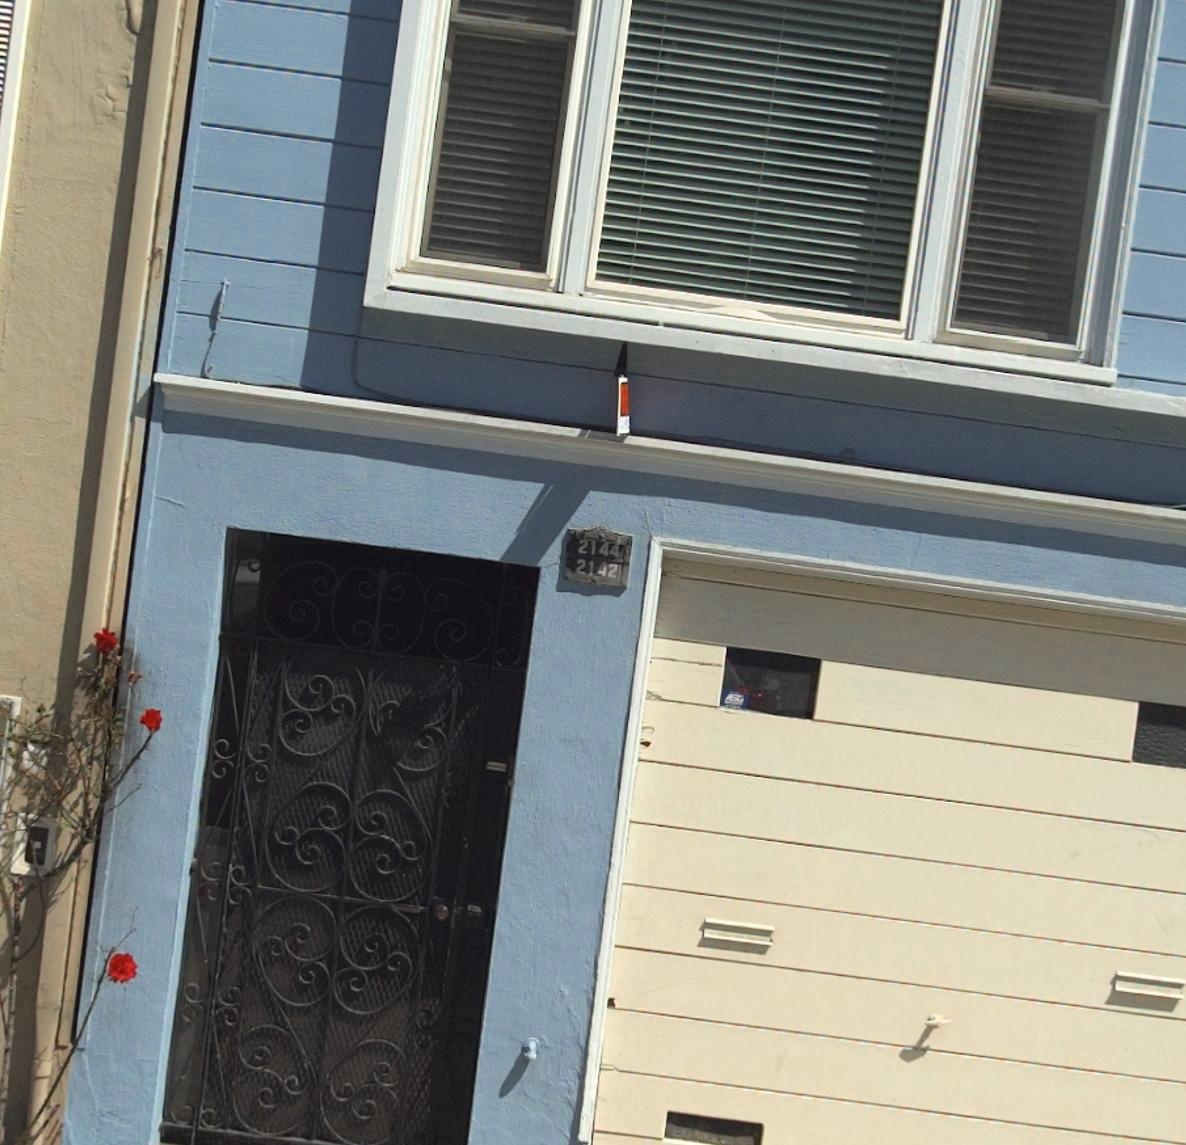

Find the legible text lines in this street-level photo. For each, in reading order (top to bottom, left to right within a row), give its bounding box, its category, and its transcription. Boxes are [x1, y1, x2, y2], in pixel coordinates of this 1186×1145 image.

[577, 539, 621, 558] StreetNumber: 2144
[575, 557, 619, 580] StreetNumber: 2142